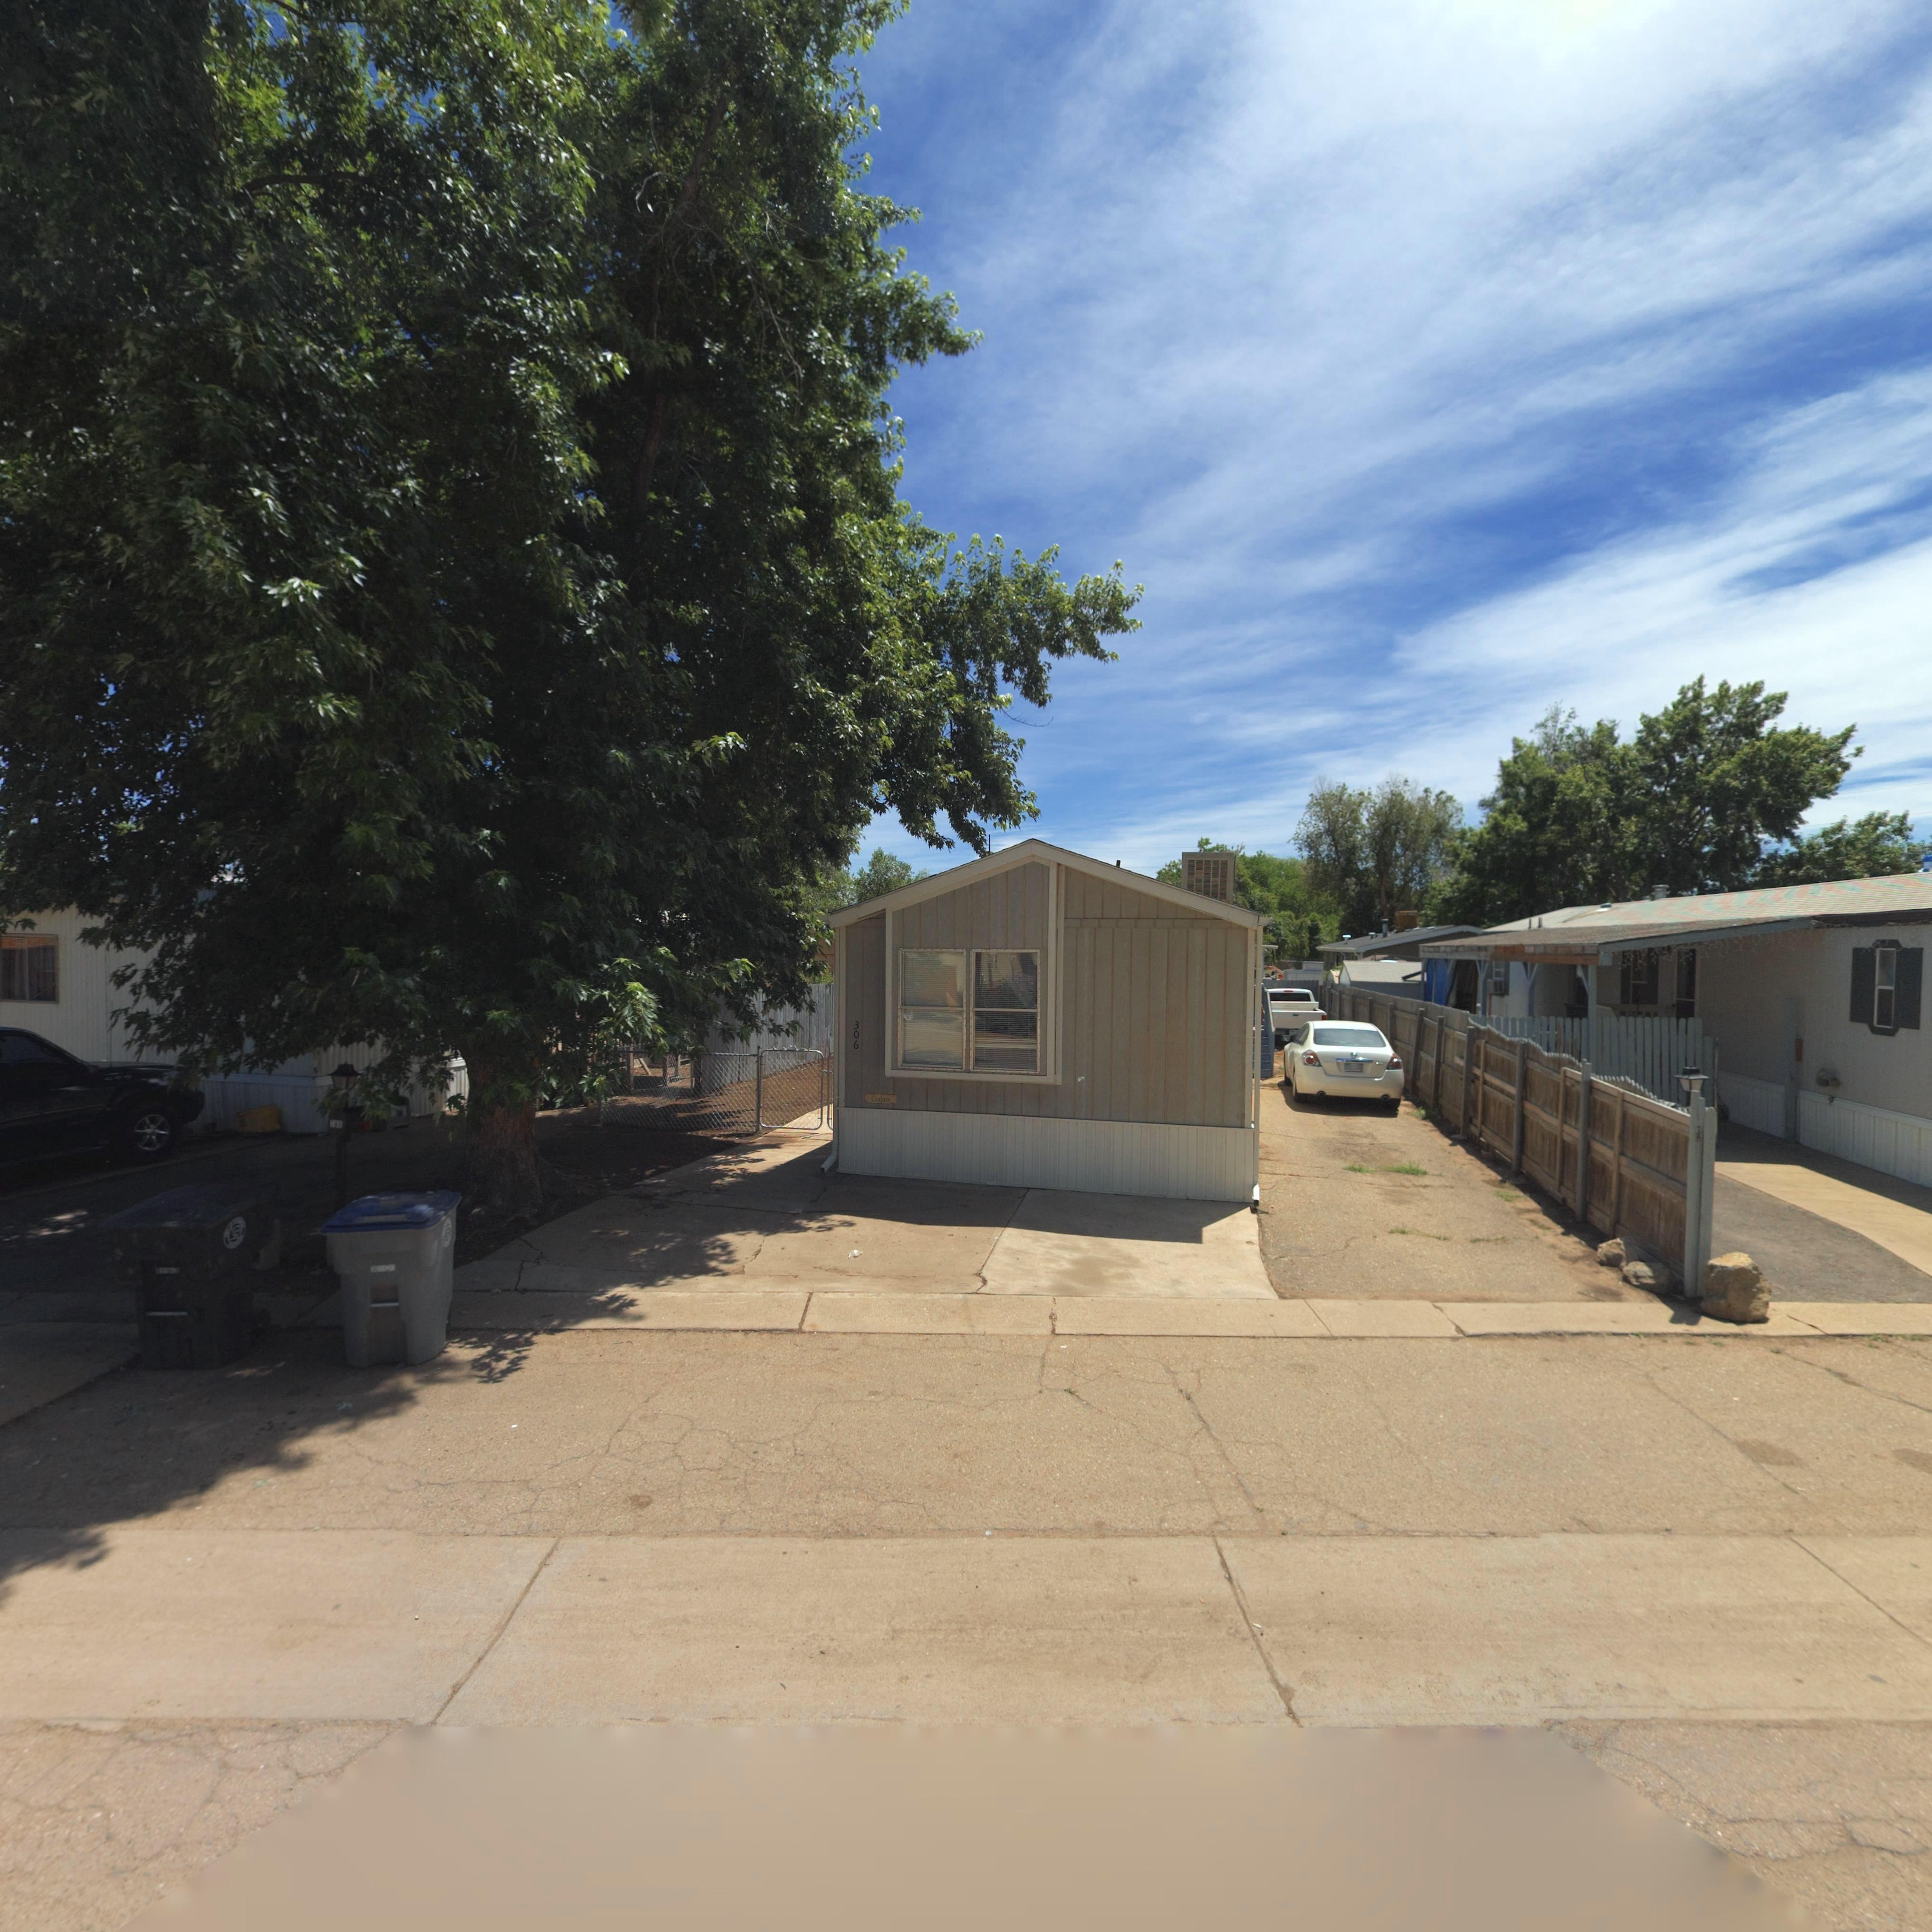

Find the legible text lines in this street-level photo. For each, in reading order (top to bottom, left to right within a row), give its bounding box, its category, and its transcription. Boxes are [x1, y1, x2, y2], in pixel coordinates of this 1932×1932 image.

[852, 1020, 860, 1050] StreetNumber: 306
[328, 1120, 342, 1129] StreetNumber: **6